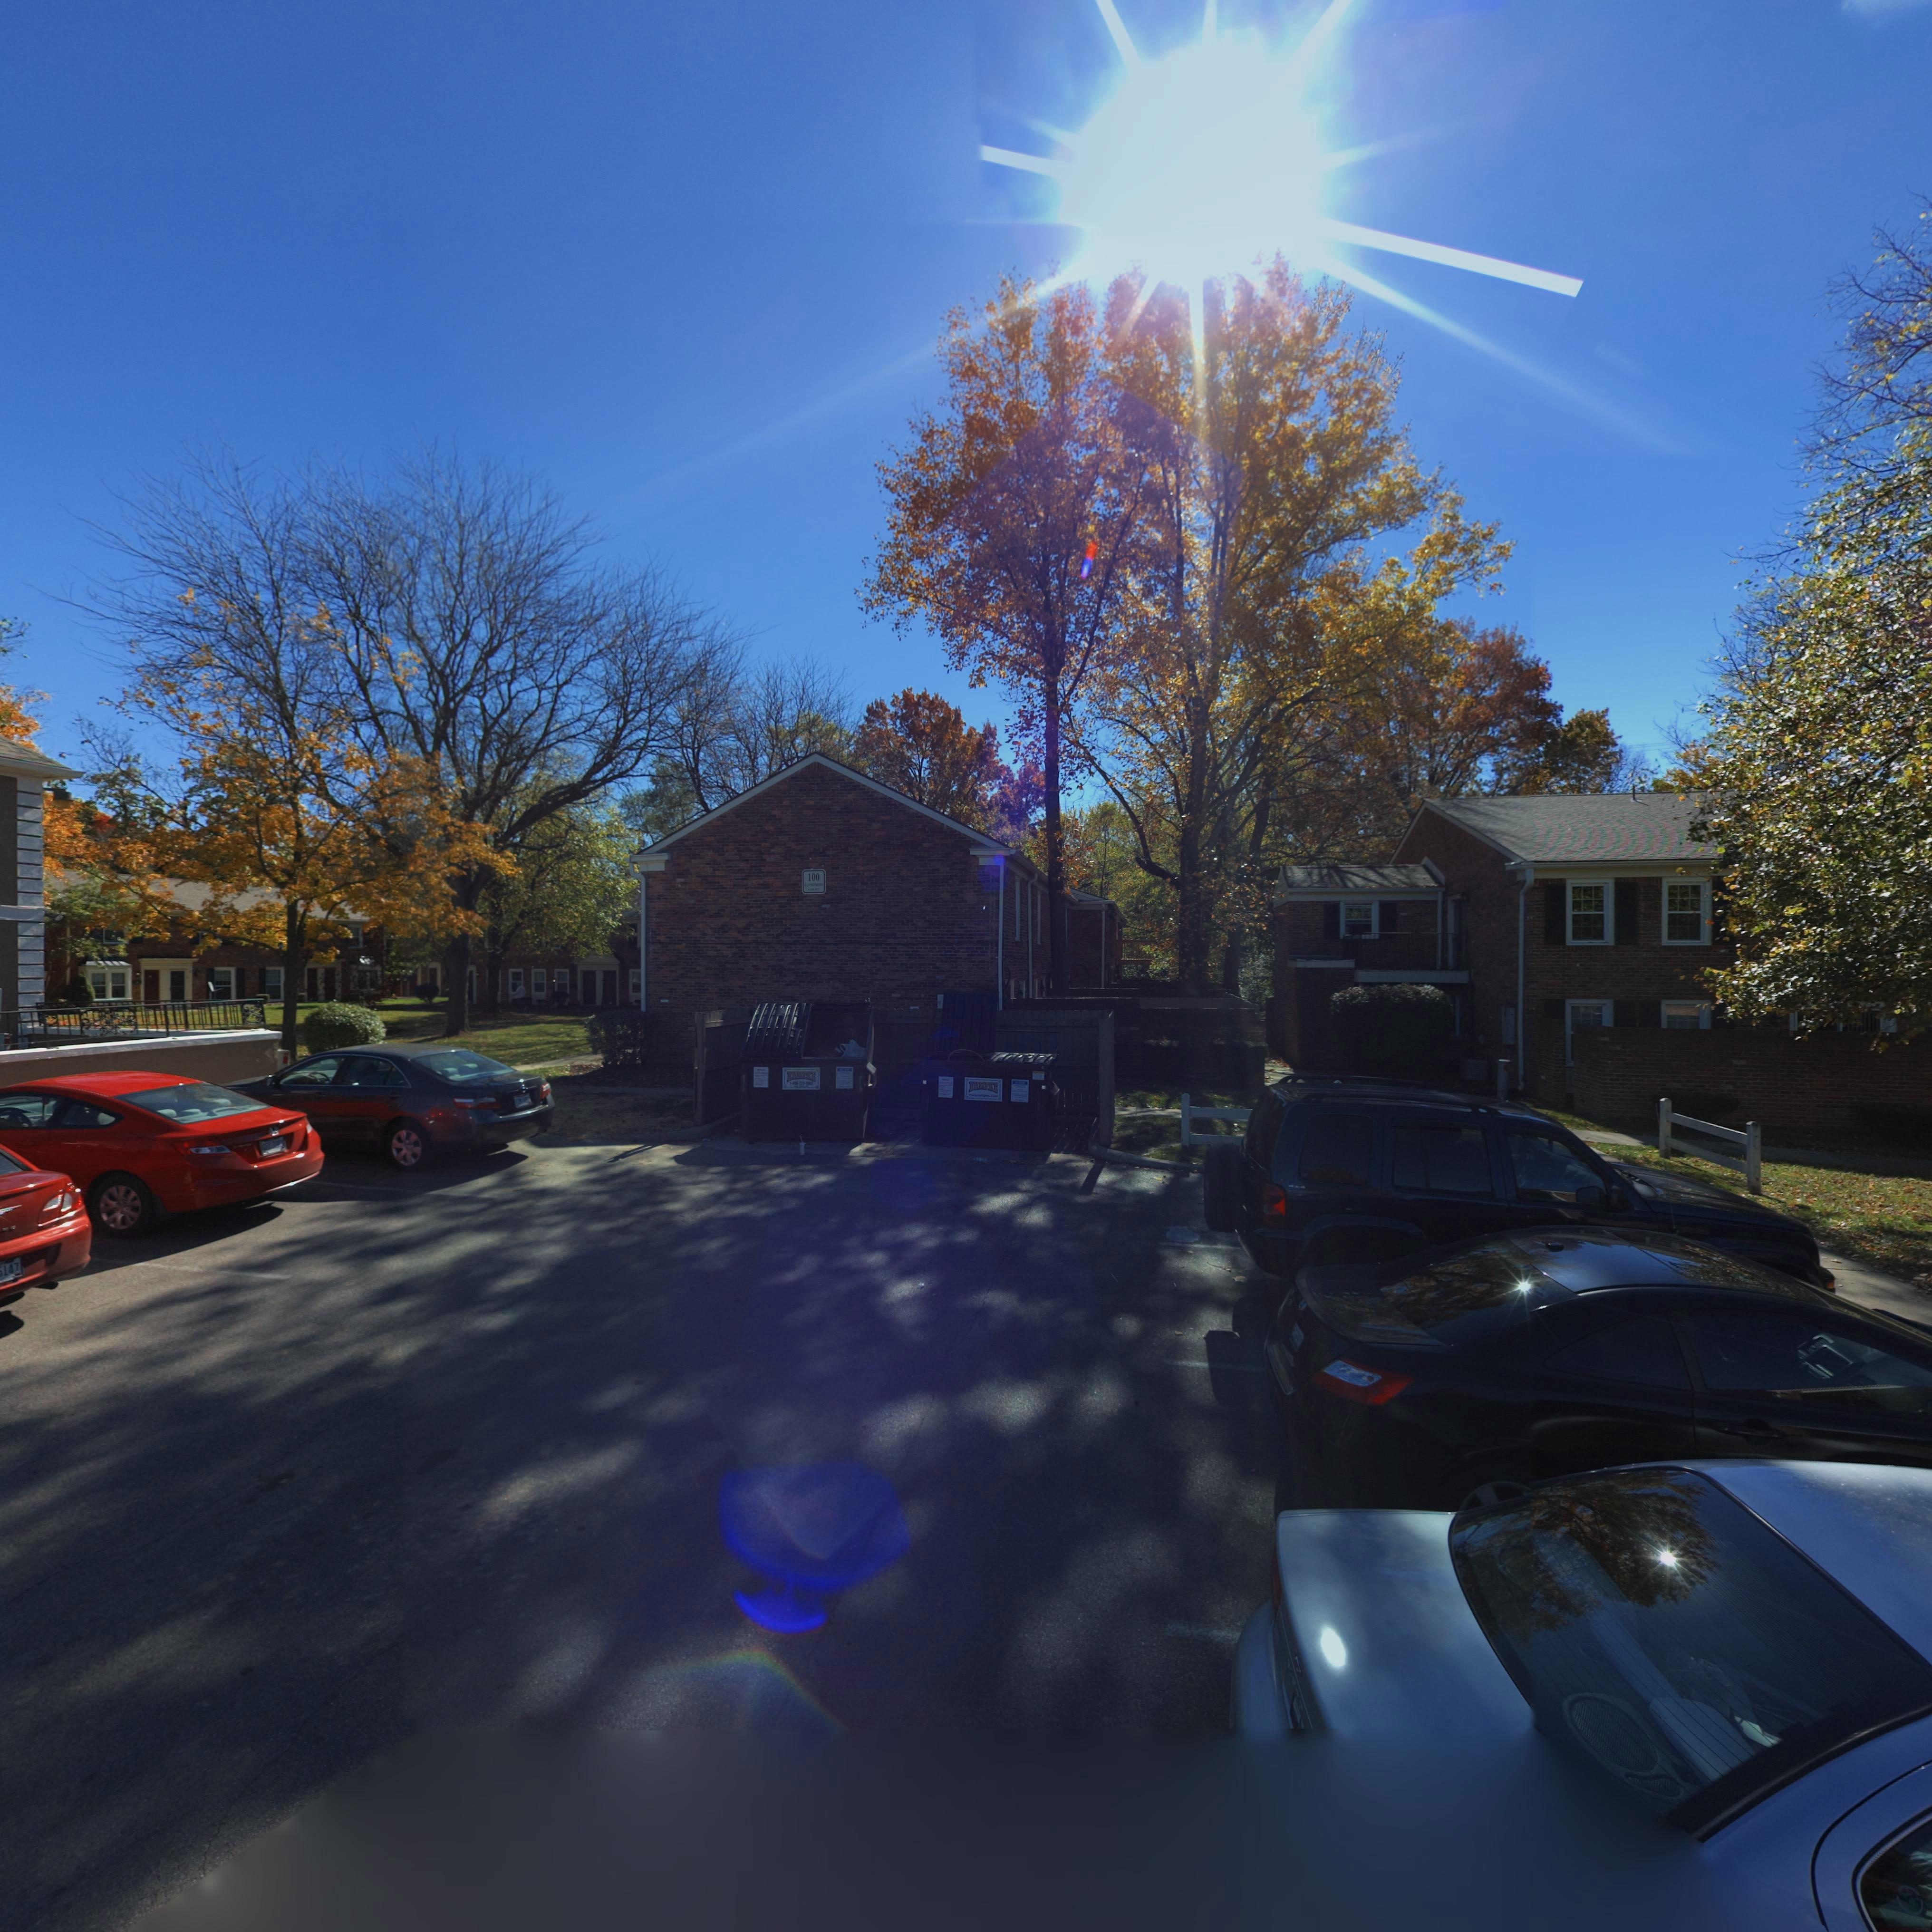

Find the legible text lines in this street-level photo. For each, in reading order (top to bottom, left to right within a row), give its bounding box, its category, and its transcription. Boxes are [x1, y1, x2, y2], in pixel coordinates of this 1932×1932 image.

[808, 872, 820, 881] StreetNumber: 100